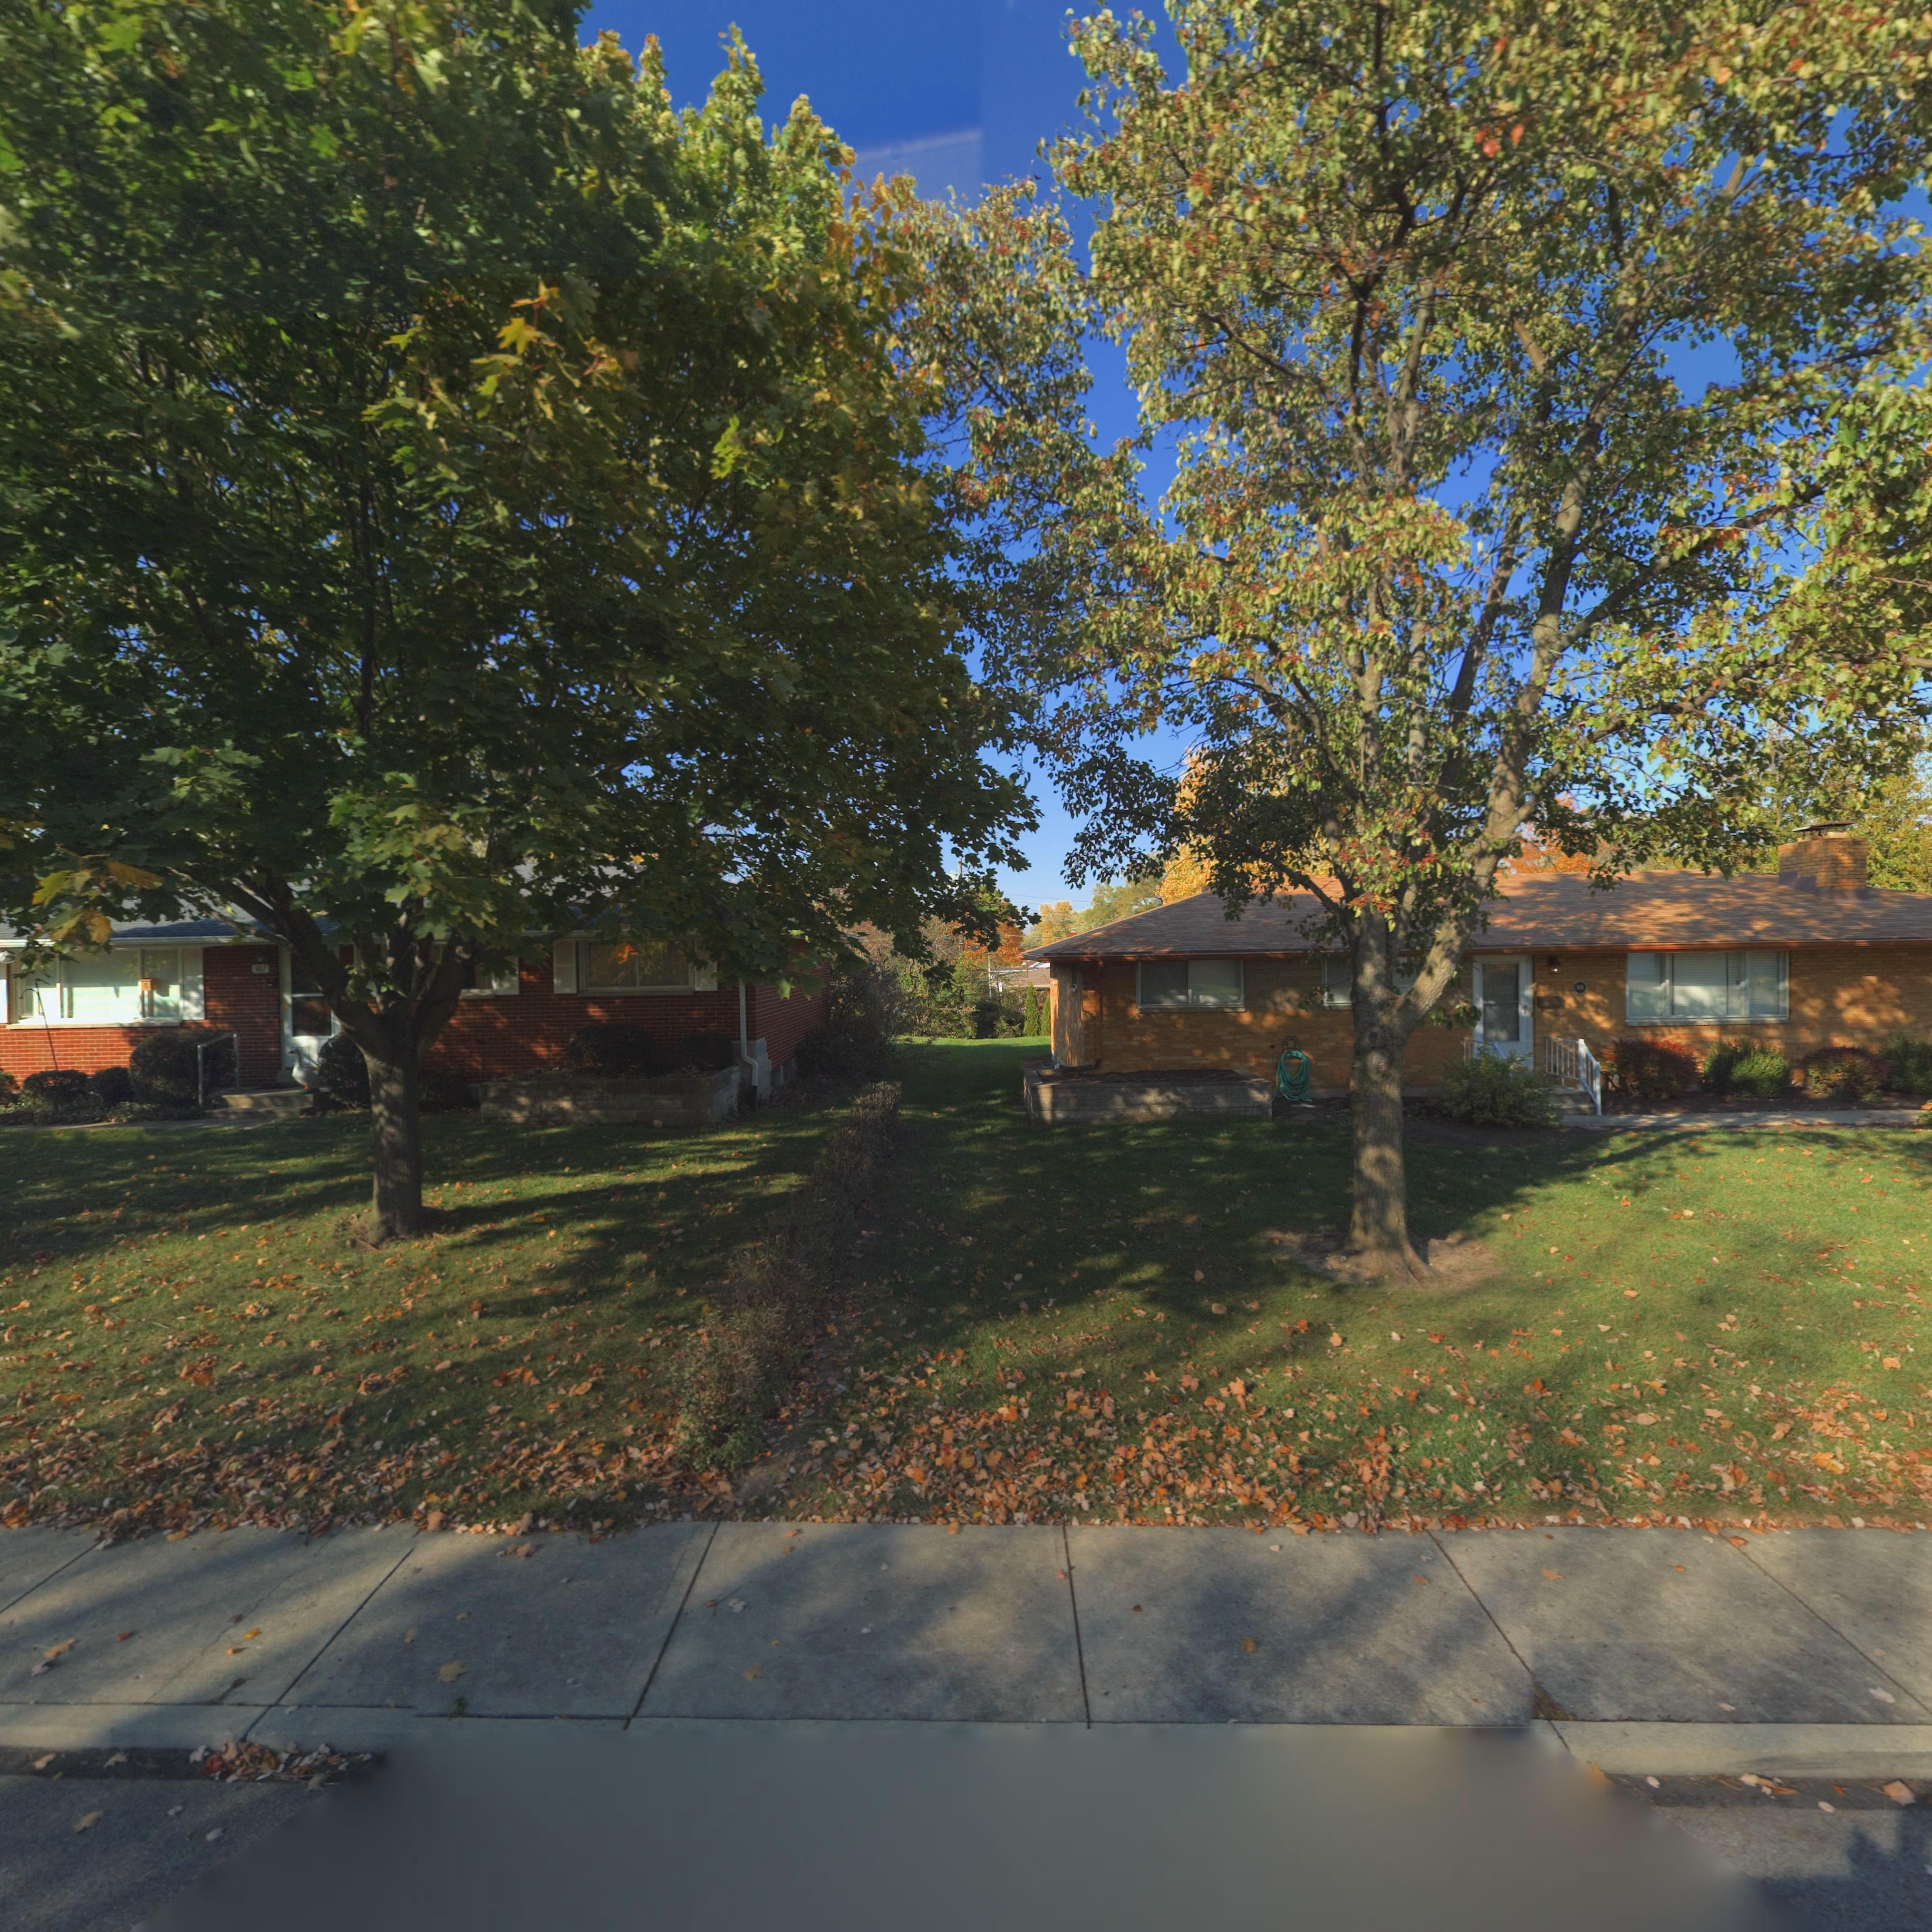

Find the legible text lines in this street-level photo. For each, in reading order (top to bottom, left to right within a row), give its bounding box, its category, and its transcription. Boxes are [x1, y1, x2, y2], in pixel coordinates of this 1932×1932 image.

[254, 965, 267, 973] StreetNumber: 767